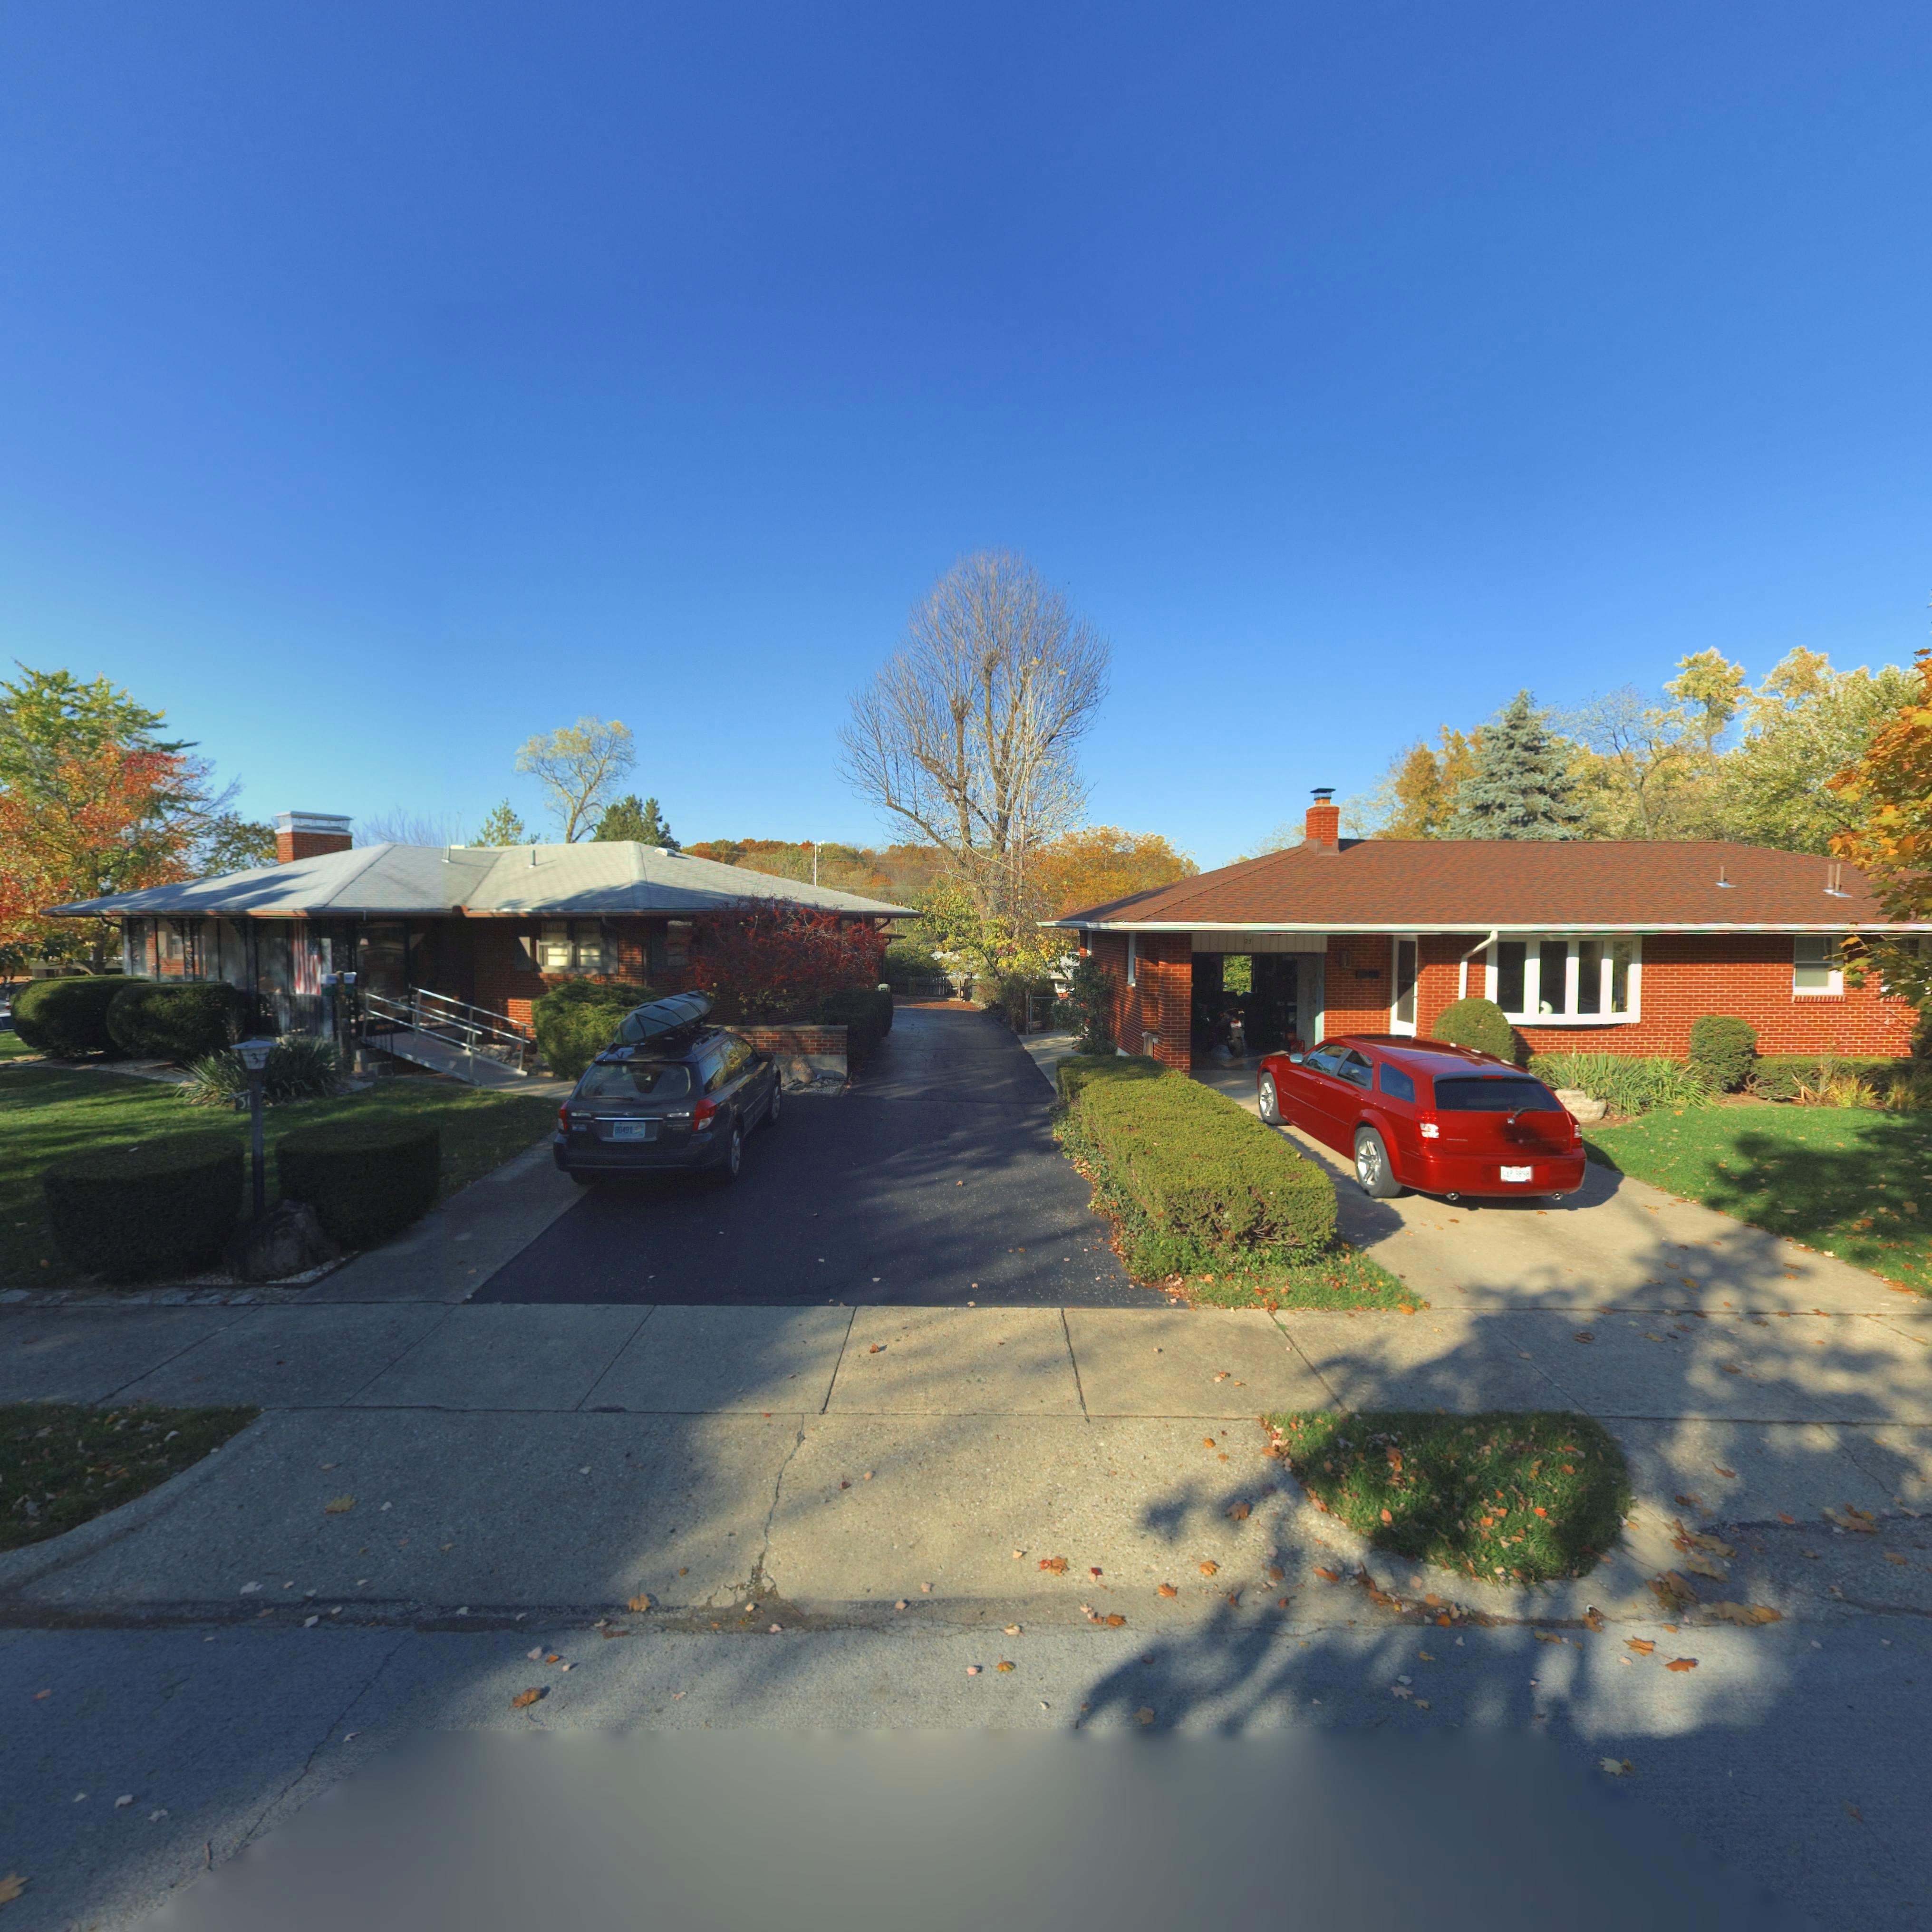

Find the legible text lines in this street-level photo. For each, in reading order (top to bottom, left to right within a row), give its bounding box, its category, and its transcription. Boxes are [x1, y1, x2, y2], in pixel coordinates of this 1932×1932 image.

[1244, 938, 1252, 945] StreetNumber: 23
[250, 1051, 260, 1066] StreetNumber: 3
[238, 1094, 251, 1110] StreetNumber: 31